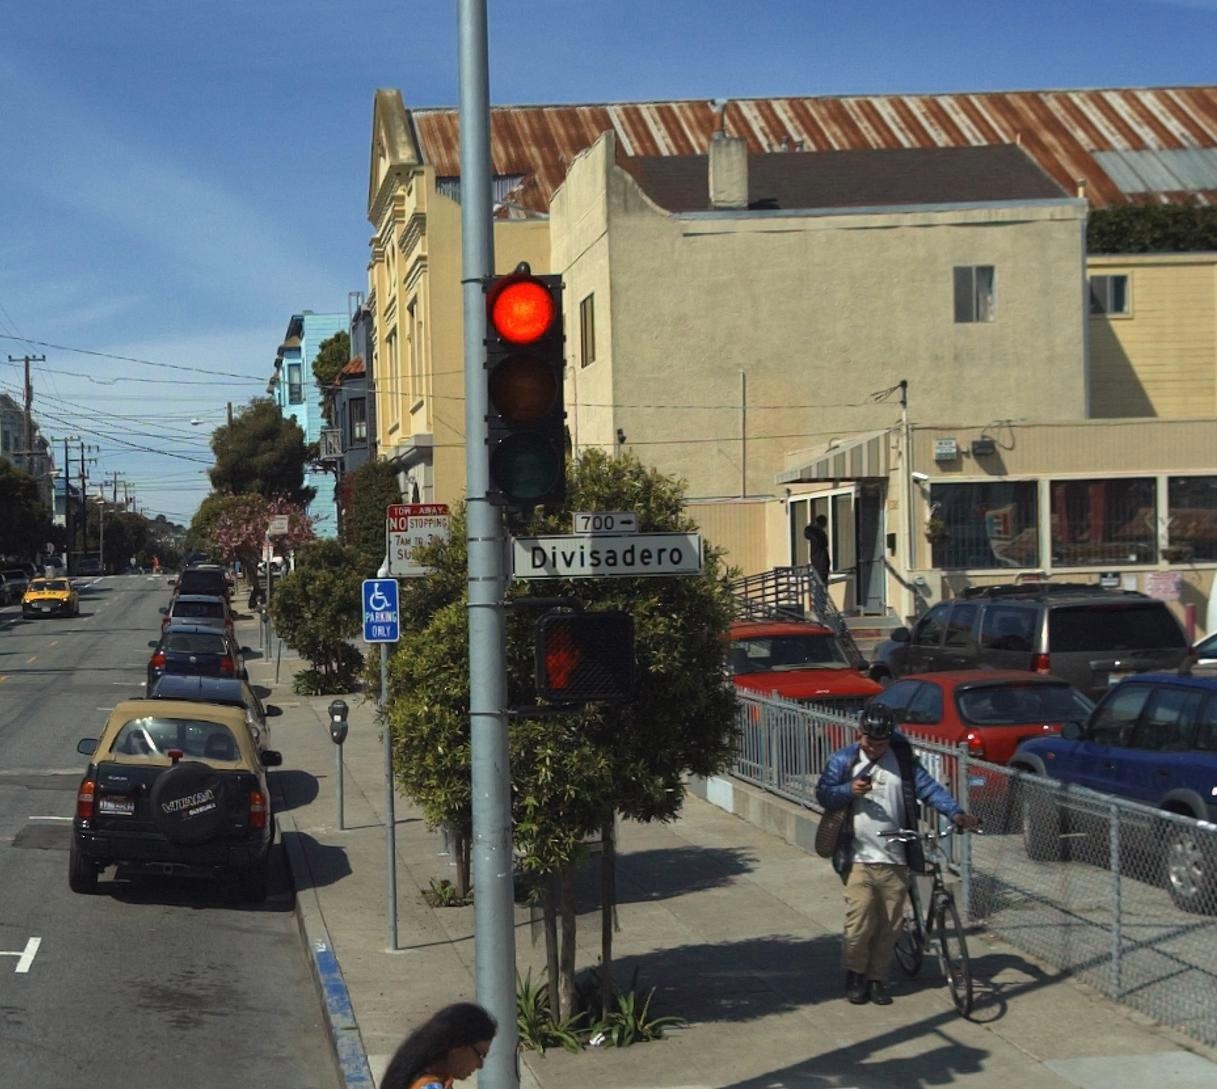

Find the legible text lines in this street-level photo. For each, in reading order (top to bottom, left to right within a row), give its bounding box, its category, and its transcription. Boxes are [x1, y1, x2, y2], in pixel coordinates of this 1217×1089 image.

[389, 504, 446, 514] None: TOW-AWAY
[388, 515, 448, 530] None: NO STOPPING
[576, 510, 634, 532] StreetNumberRange: 700->
[392, 533, 424, 545] None: 7AM TO
[394, 547, 412, 560] None: SU
[526, 541, 684, 568] StreetName: Divisadero
[363, 609, 396, 623] None: PARKING
[370, 625, 393, 637] None: ONLY